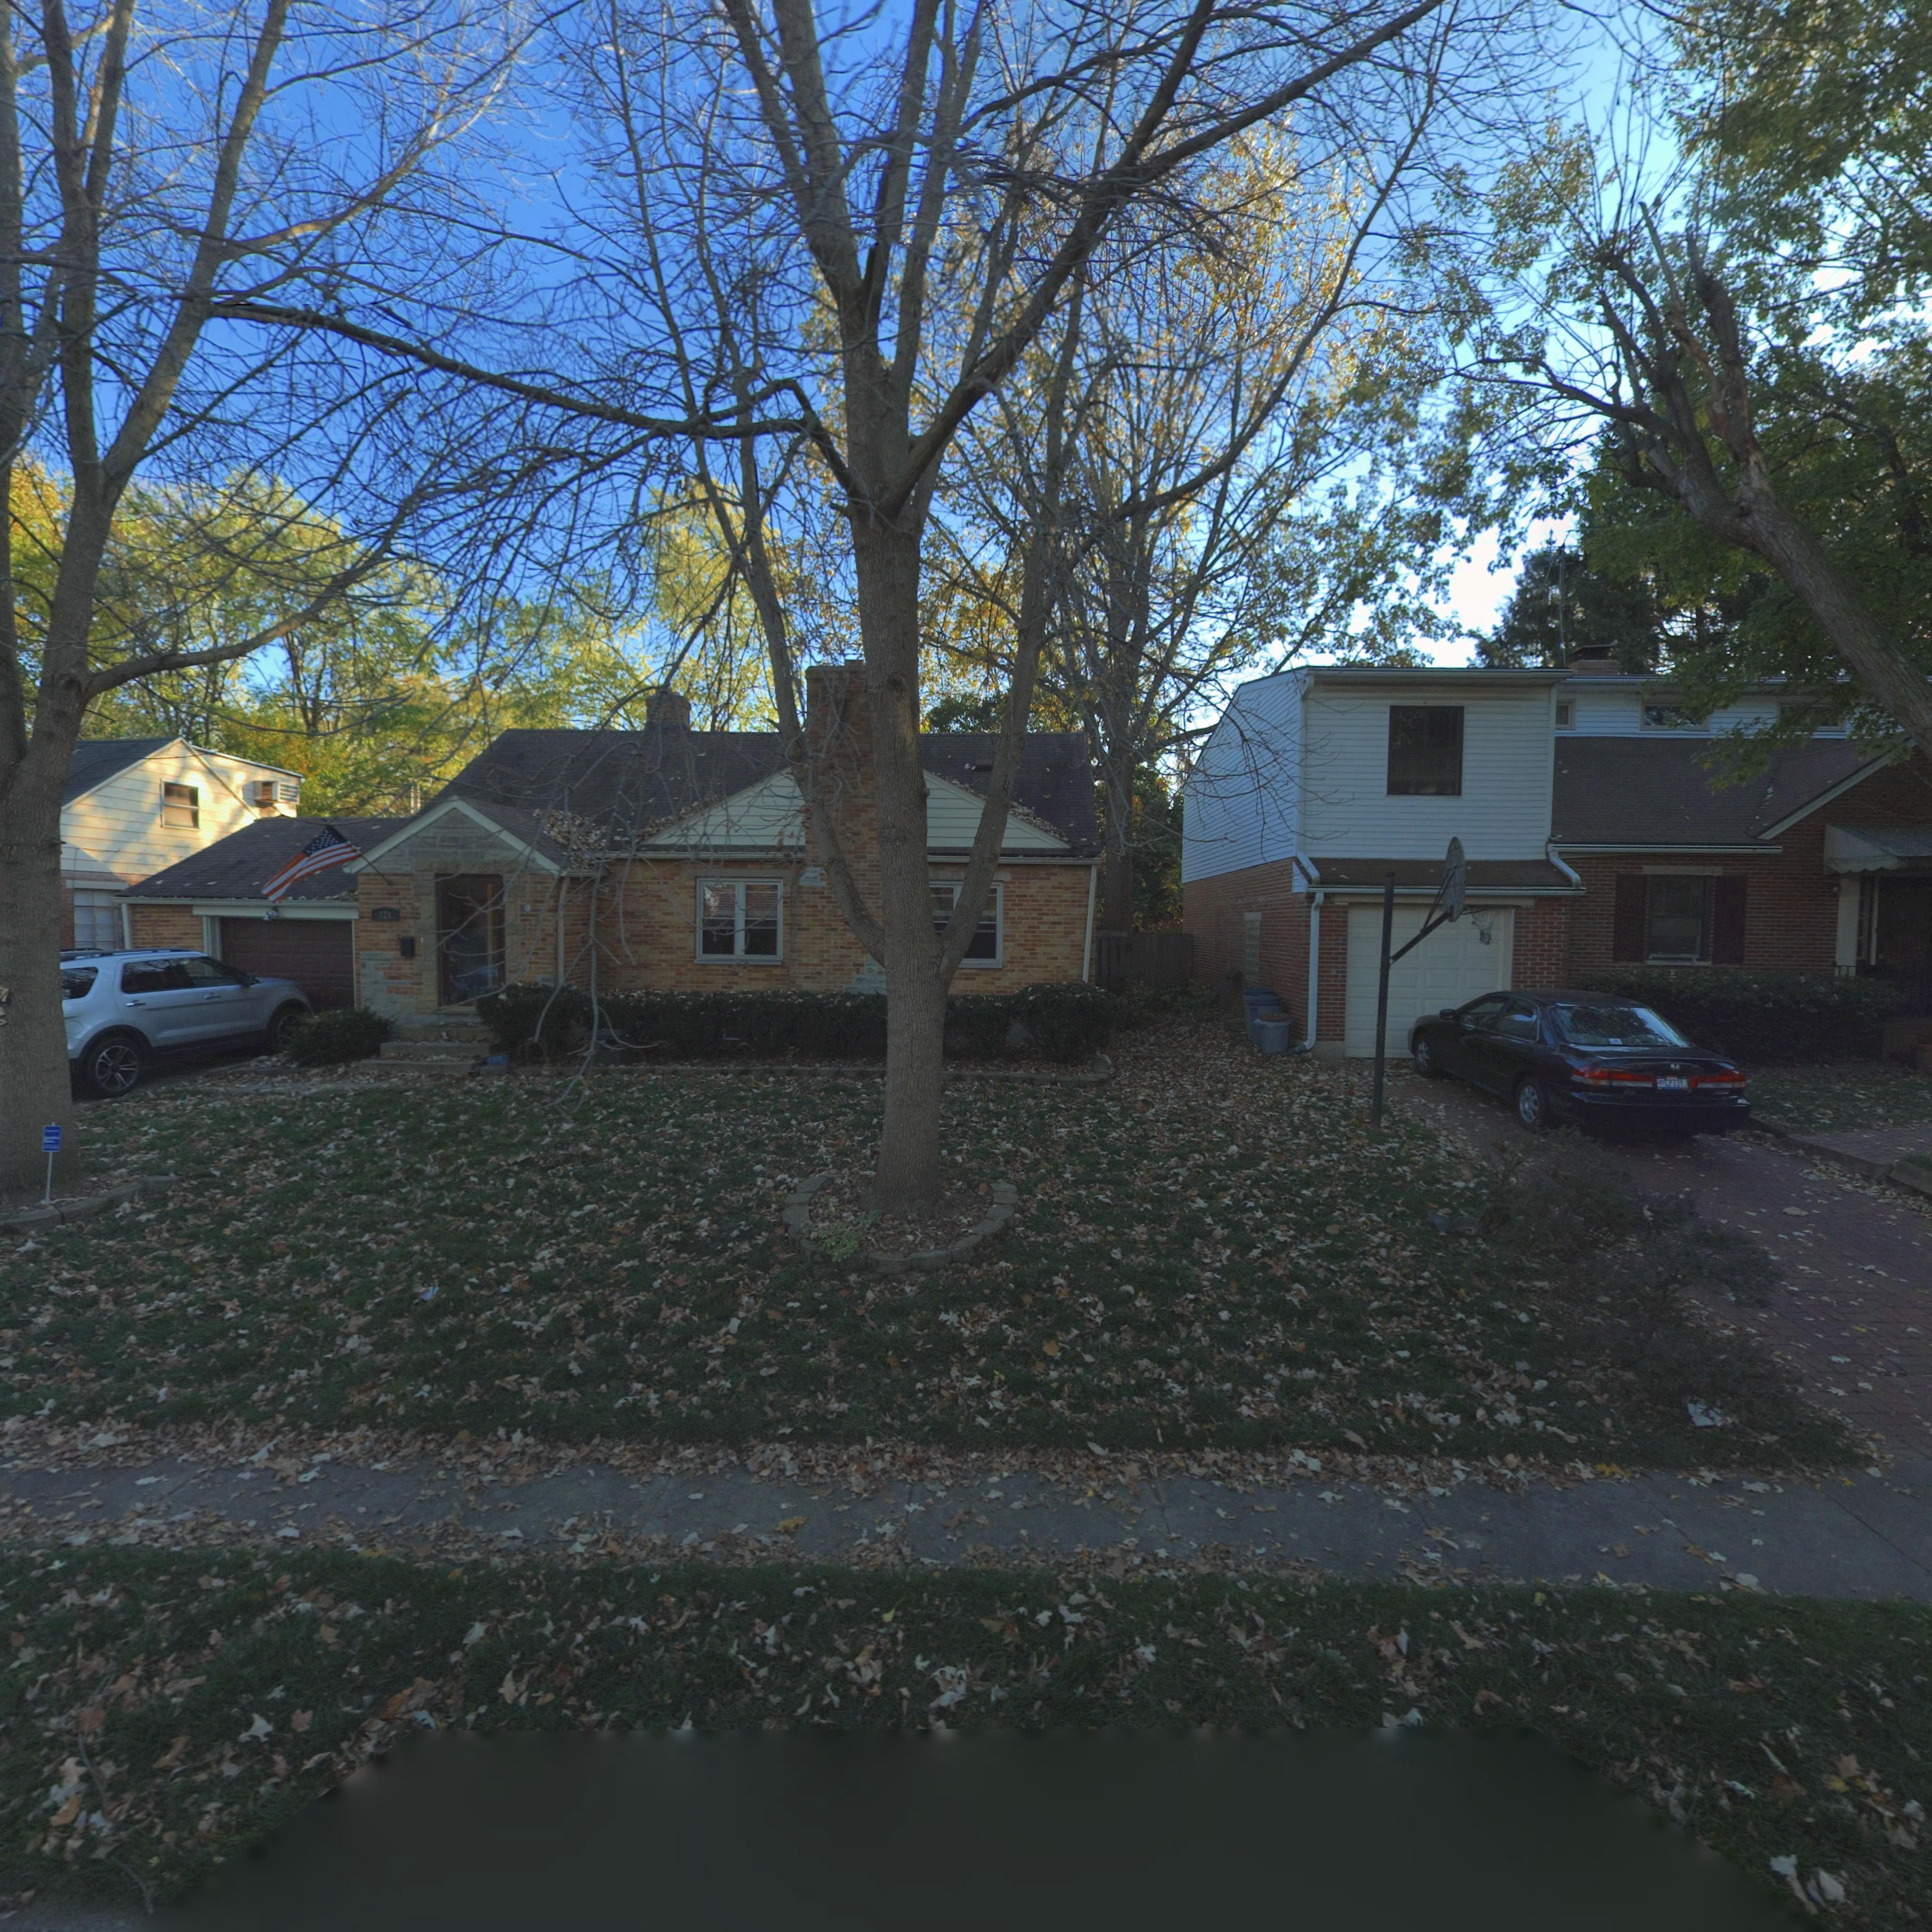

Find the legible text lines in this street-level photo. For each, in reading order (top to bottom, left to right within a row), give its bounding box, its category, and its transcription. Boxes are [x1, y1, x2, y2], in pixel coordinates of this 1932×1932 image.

[377, 909, 392, 920] StreetNumber: *24